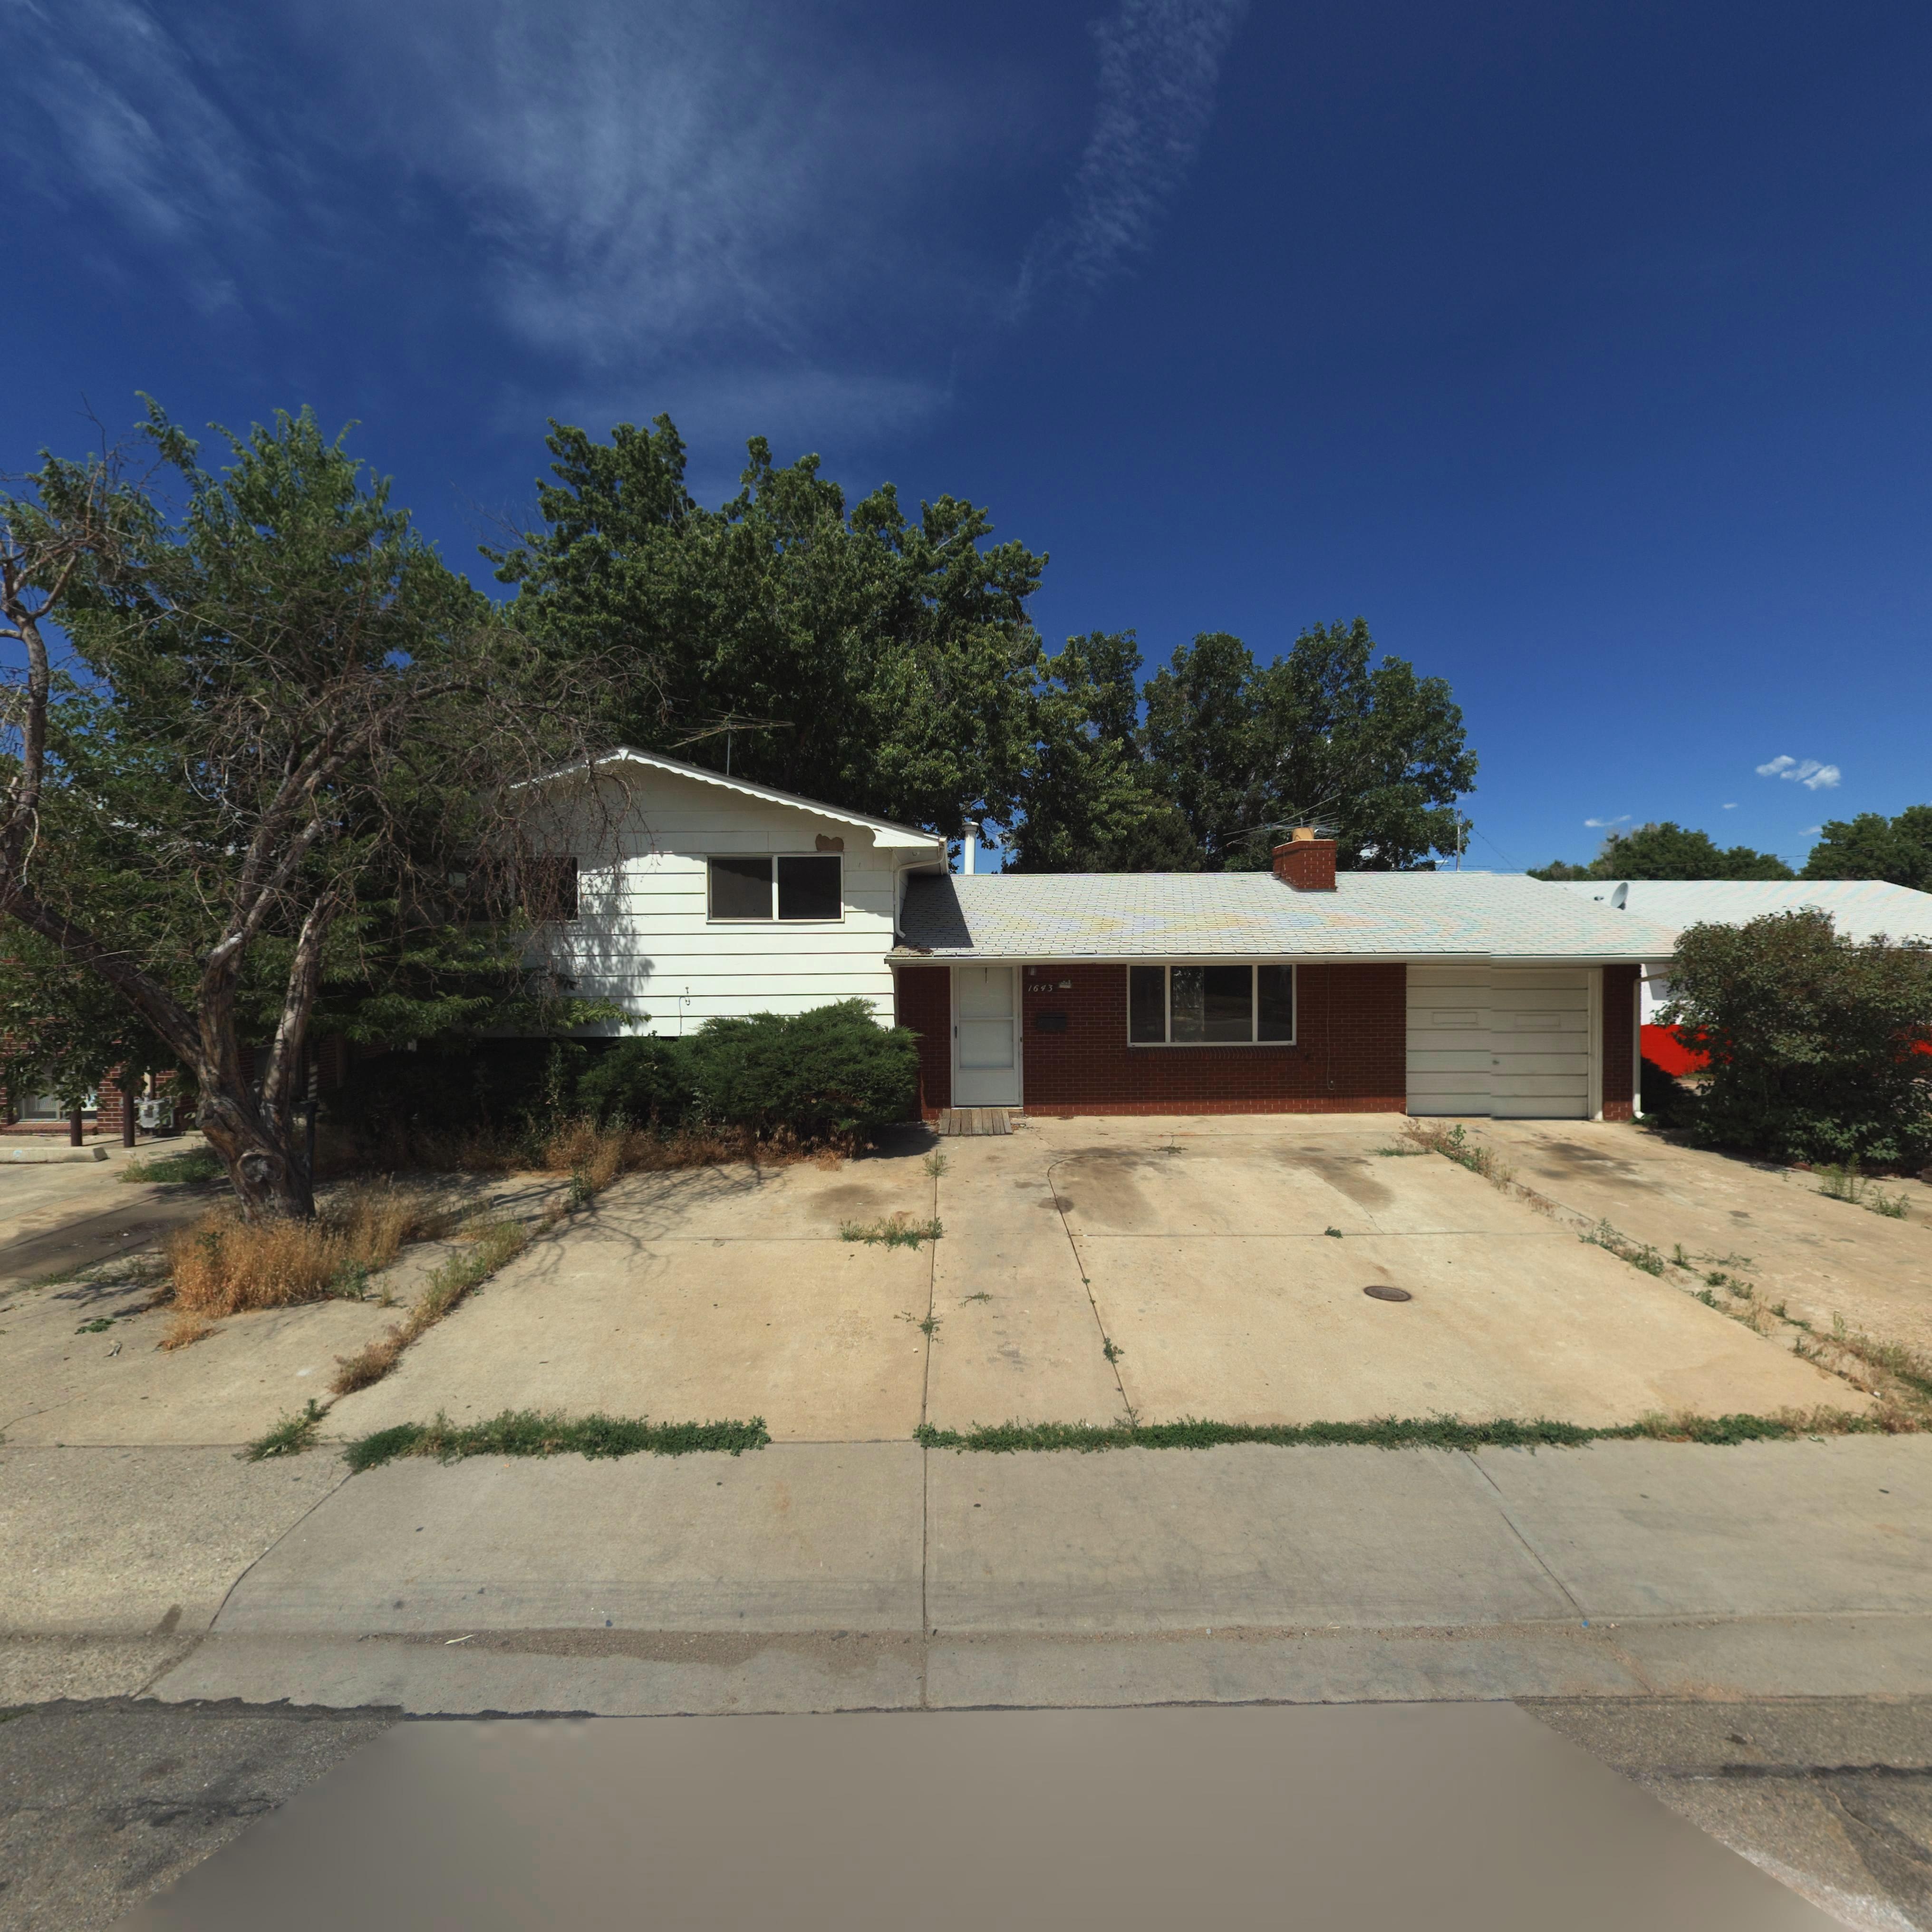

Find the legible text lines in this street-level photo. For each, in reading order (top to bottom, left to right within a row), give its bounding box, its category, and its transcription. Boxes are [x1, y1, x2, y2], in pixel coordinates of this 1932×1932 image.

[1027, 984, 1053, 992] StreetNumber: 1643